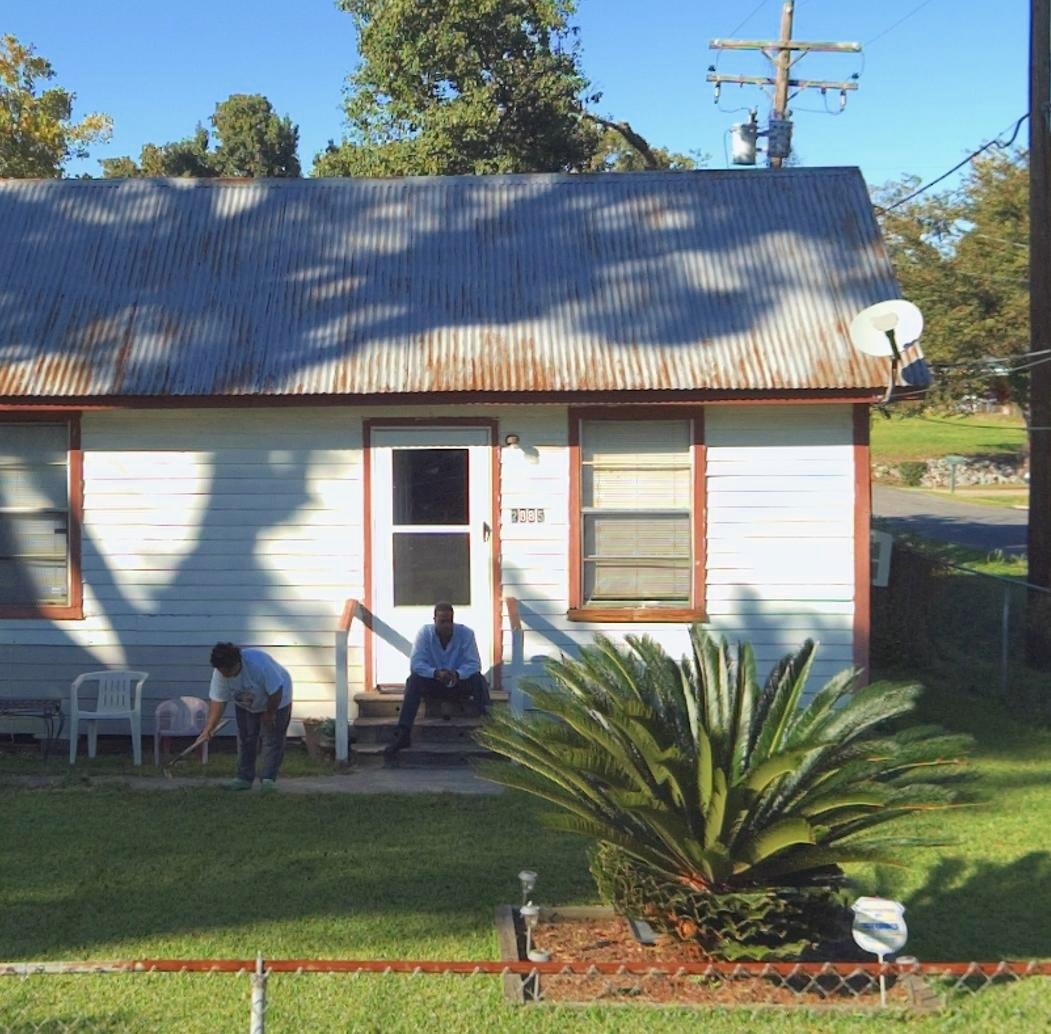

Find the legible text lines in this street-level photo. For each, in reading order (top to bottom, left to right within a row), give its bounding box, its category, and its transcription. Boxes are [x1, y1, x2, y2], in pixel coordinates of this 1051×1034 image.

[511, 509, 544, 523] StreetNumber: 2885